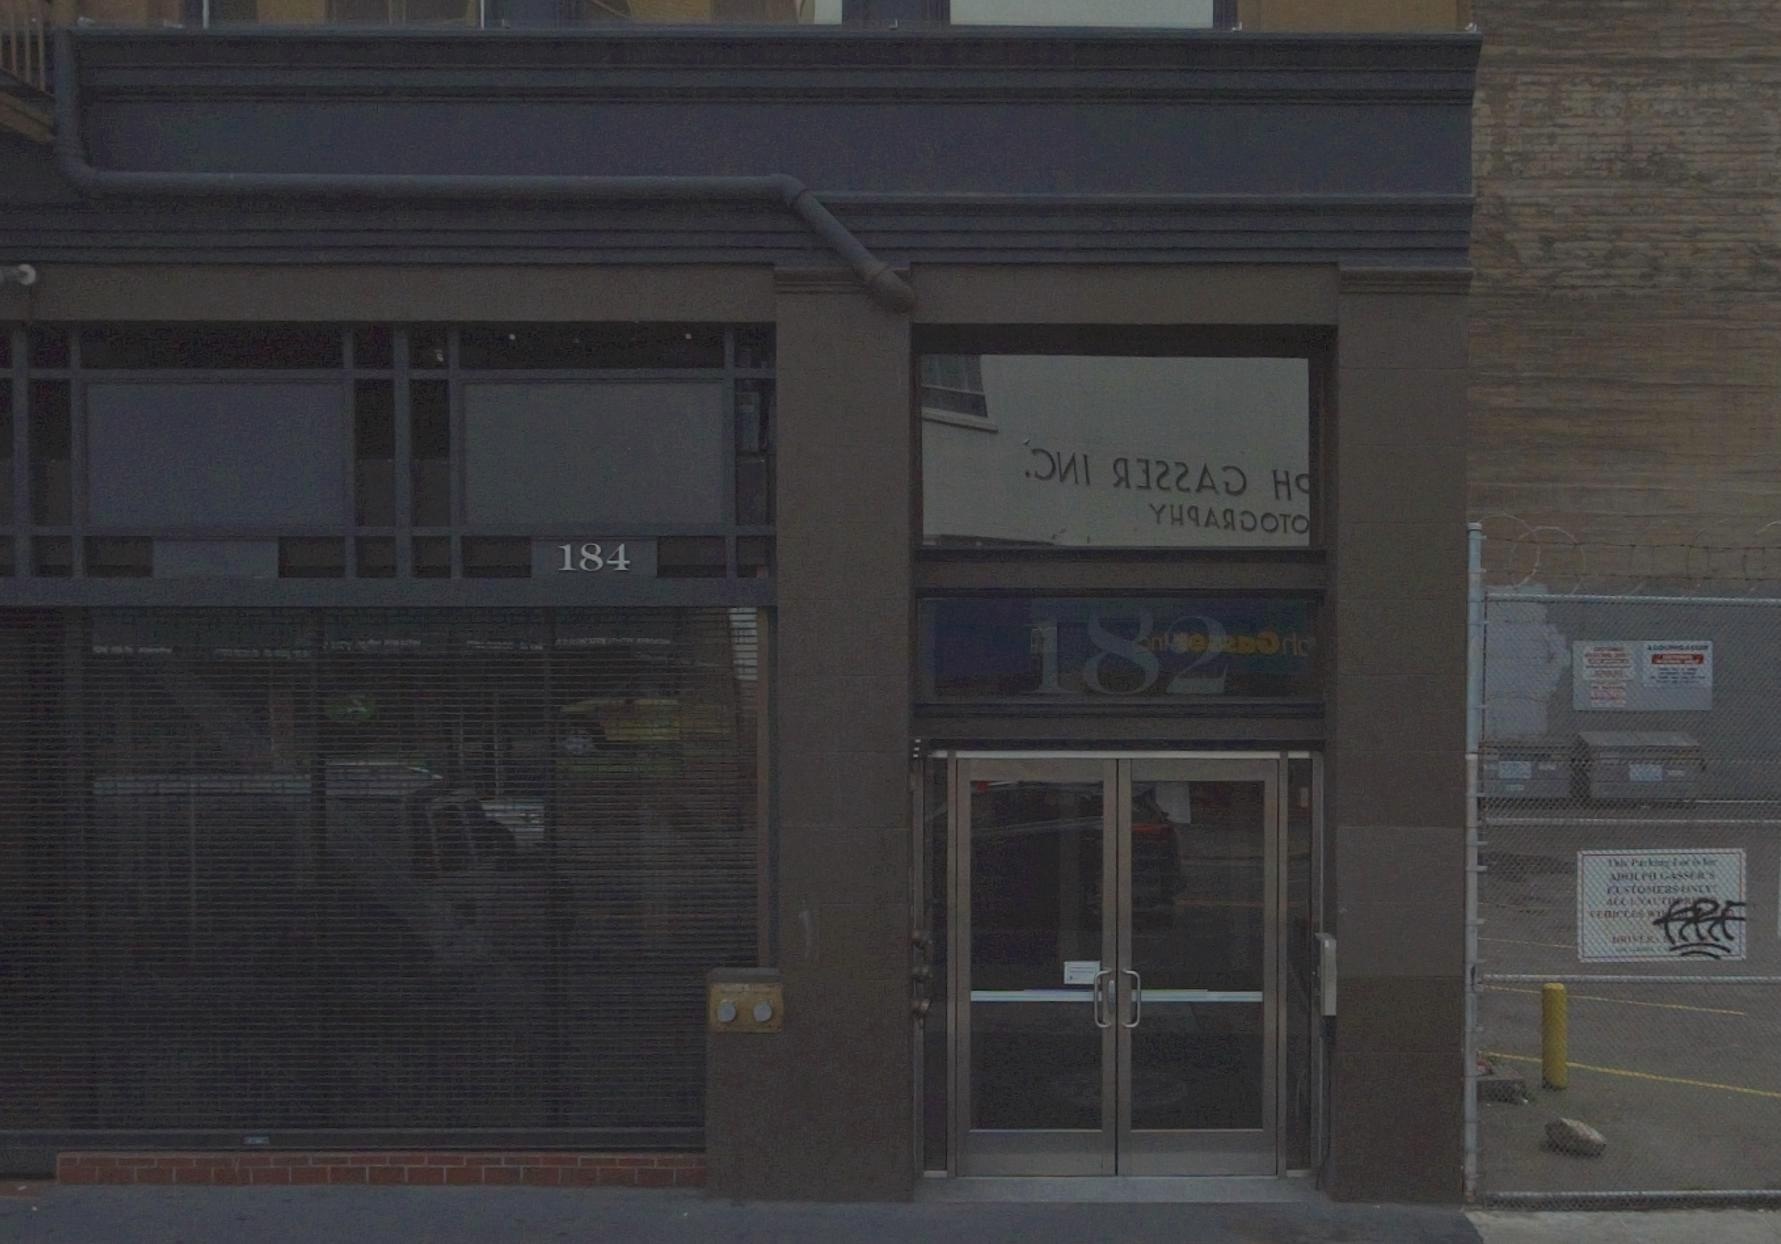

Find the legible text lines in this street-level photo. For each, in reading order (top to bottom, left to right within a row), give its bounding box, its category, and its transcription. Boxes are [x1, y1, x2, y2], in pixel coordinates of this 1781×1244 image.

[1027, 443, 1295, 504] None: **I ****A* H
[1144, 501, 1312, 538] None: *H*A**OTO
[556, 540, 634, 573] StreetNumber: 184
[1022, 589, 1232, 698] StreetNumber: 182